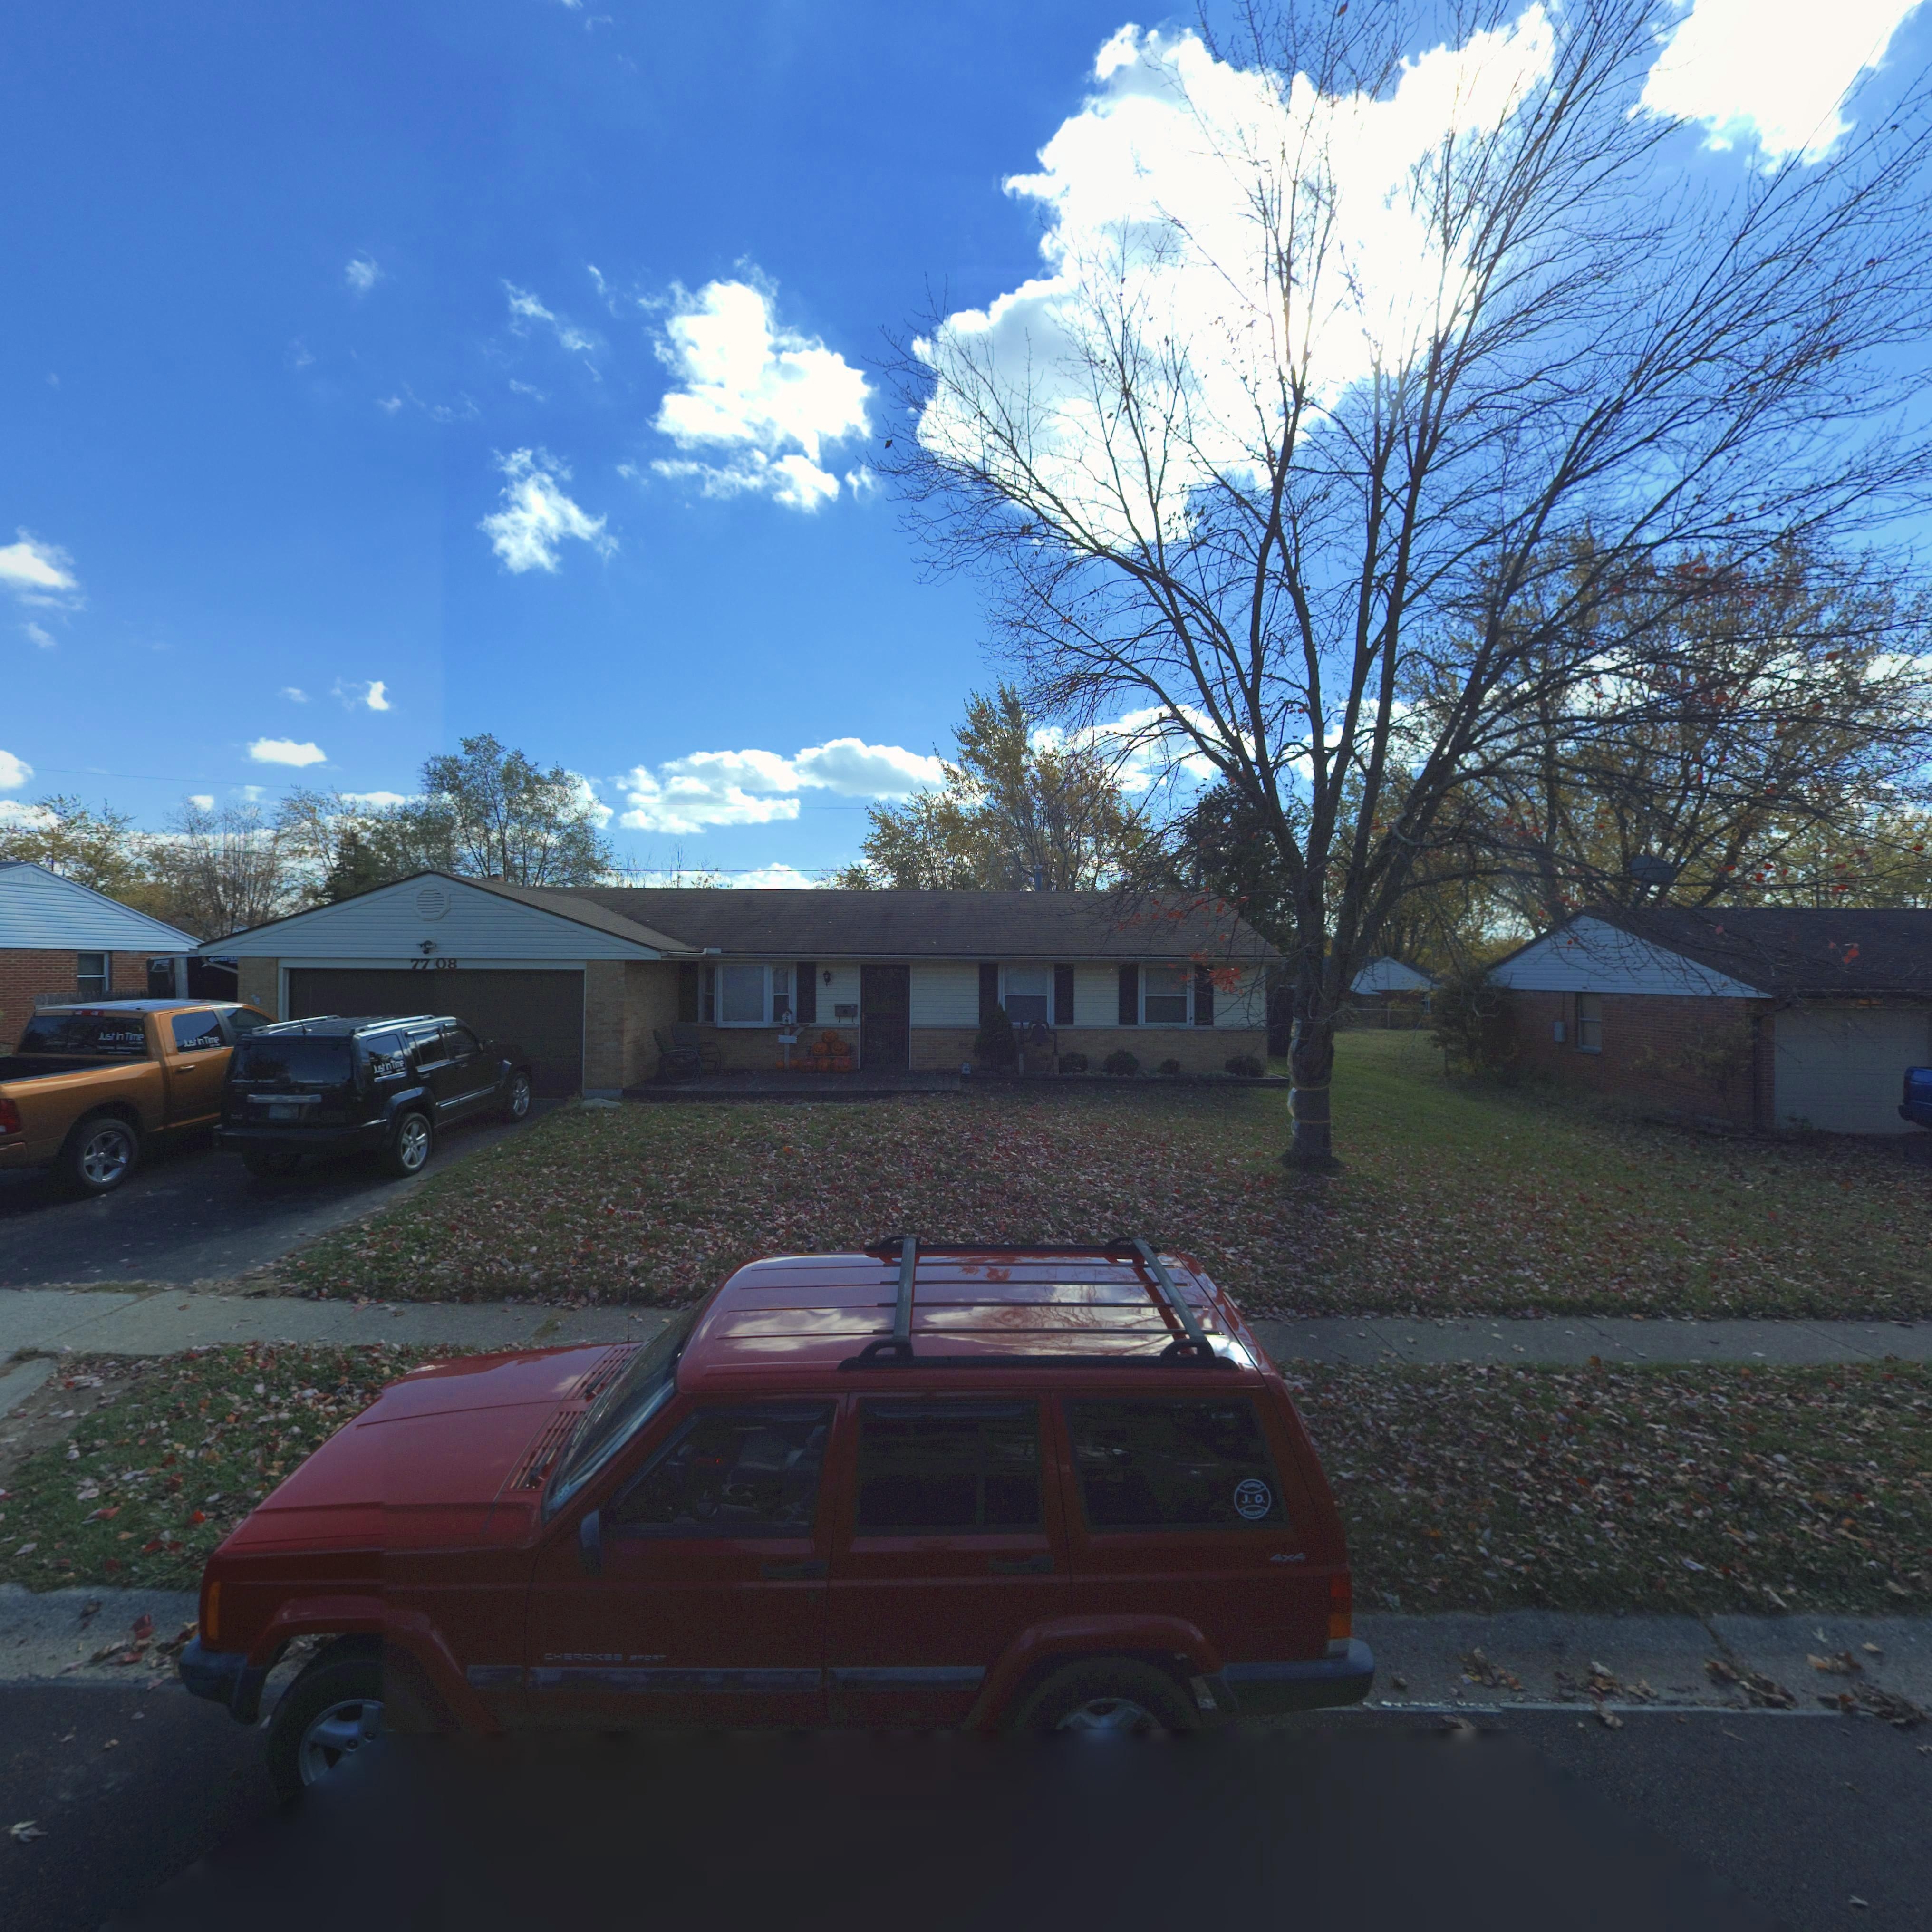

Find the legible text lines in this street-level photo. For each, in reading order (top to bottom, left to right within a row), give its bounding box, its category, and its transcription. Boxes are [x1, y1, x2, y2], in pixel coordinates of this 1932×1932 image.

[410, 958, 458, 969] StreetNumber: 7708